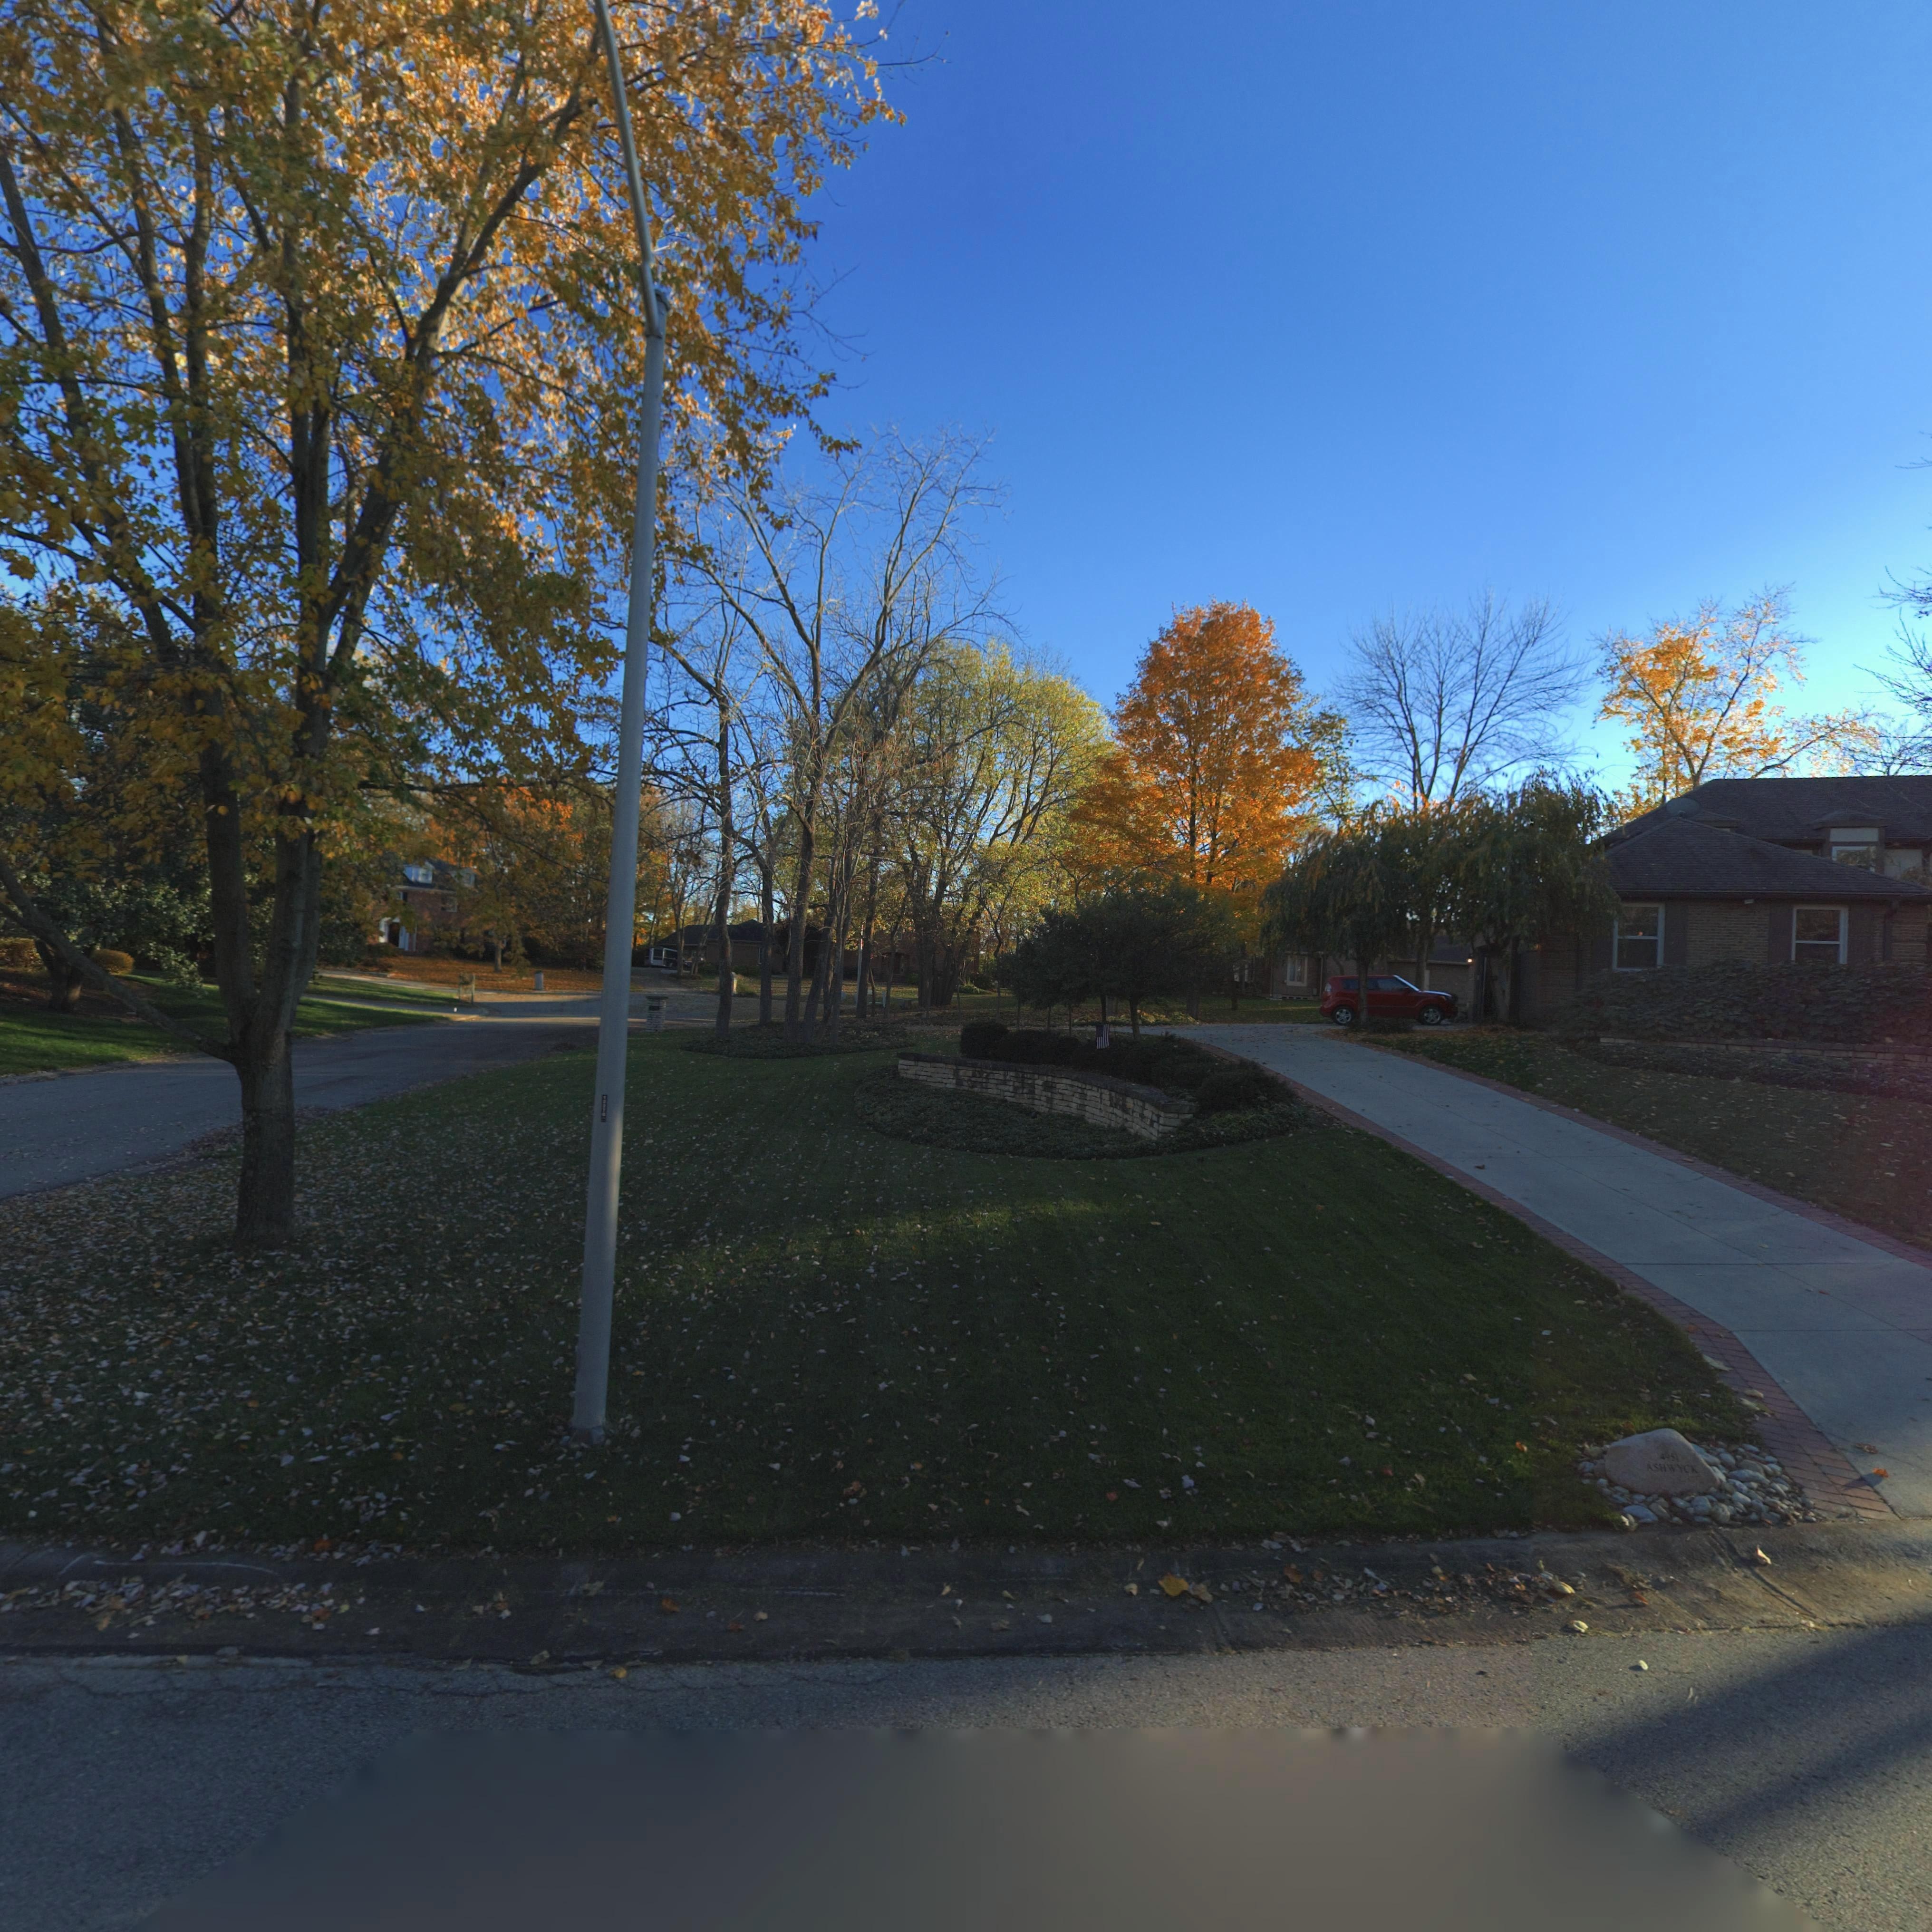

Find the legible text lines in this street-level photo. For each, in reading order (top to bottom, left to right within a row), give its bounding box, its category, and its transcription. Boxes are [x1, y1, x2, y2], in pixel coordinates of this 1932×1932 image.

[1659, 1452, 1680, 1462] StreetNumber: 4951
[1645, 1462, 1700, 1475] StreetName: ASHWYCK